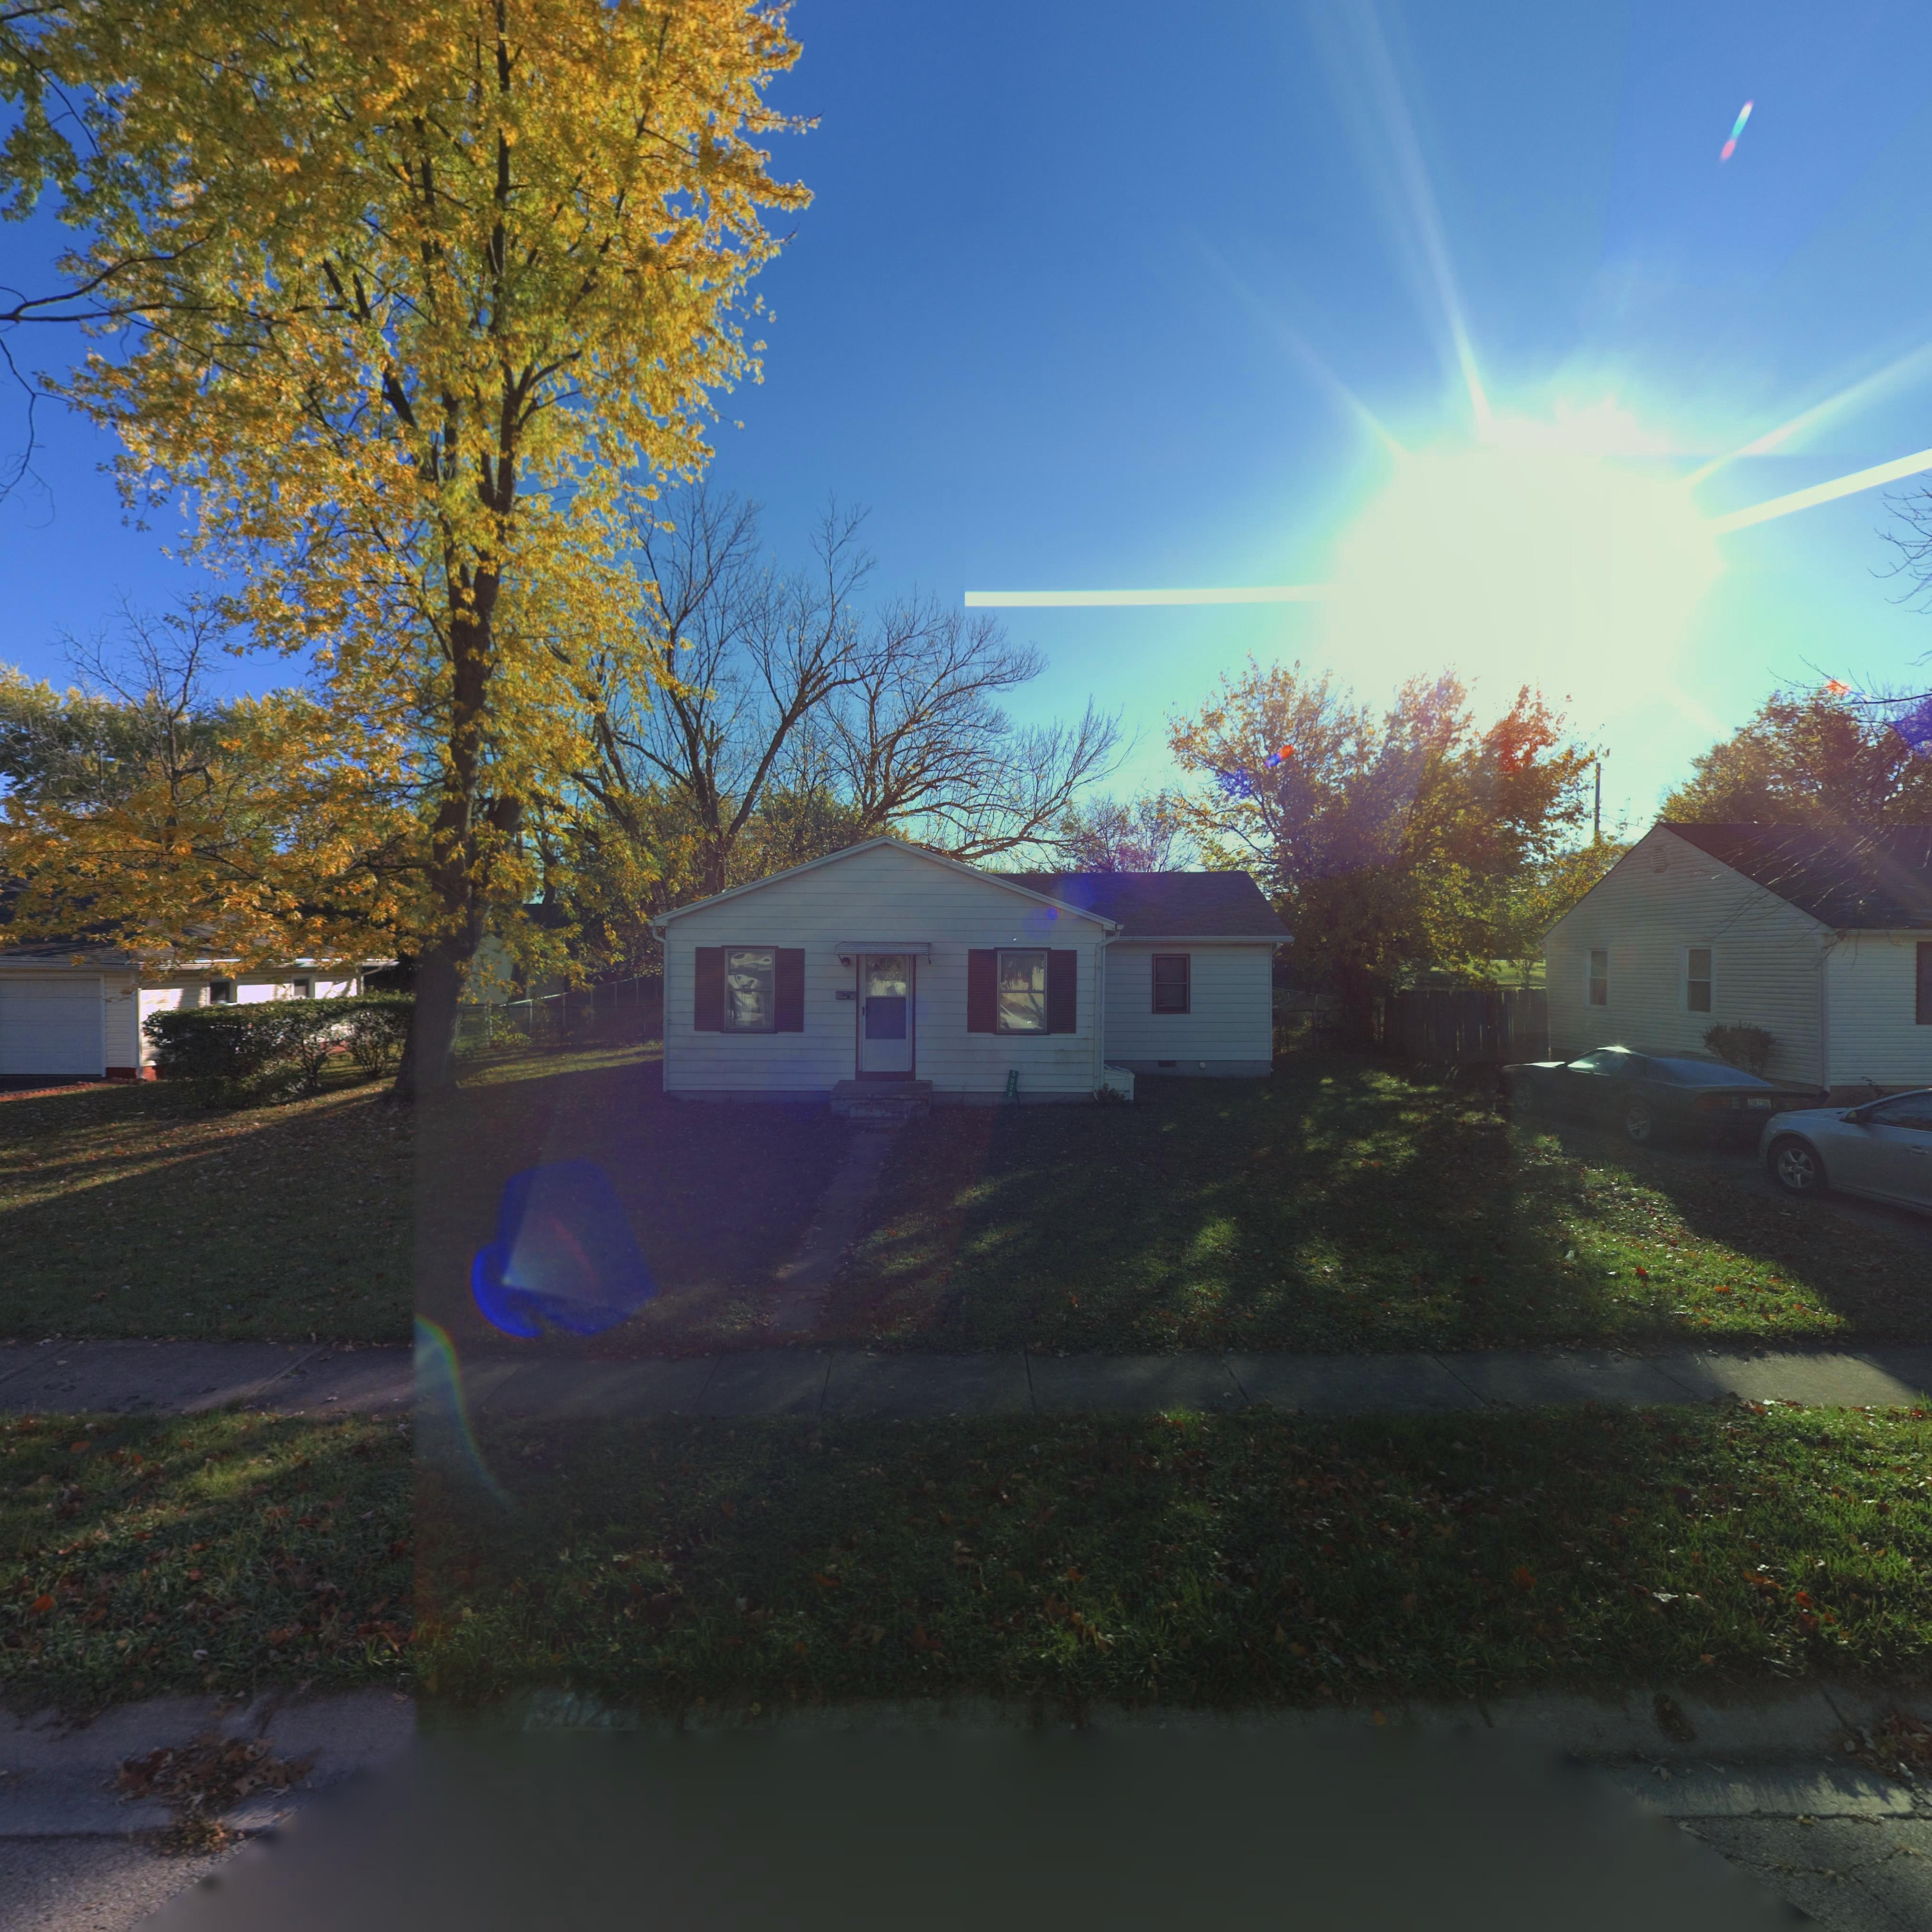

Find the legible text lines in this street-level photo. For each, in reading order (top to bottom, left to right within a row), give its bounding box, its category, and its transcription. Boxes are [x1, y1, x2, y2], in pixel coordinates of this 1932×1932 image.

[1007, 1070, 1017, 1098] StreetNumber: 5020